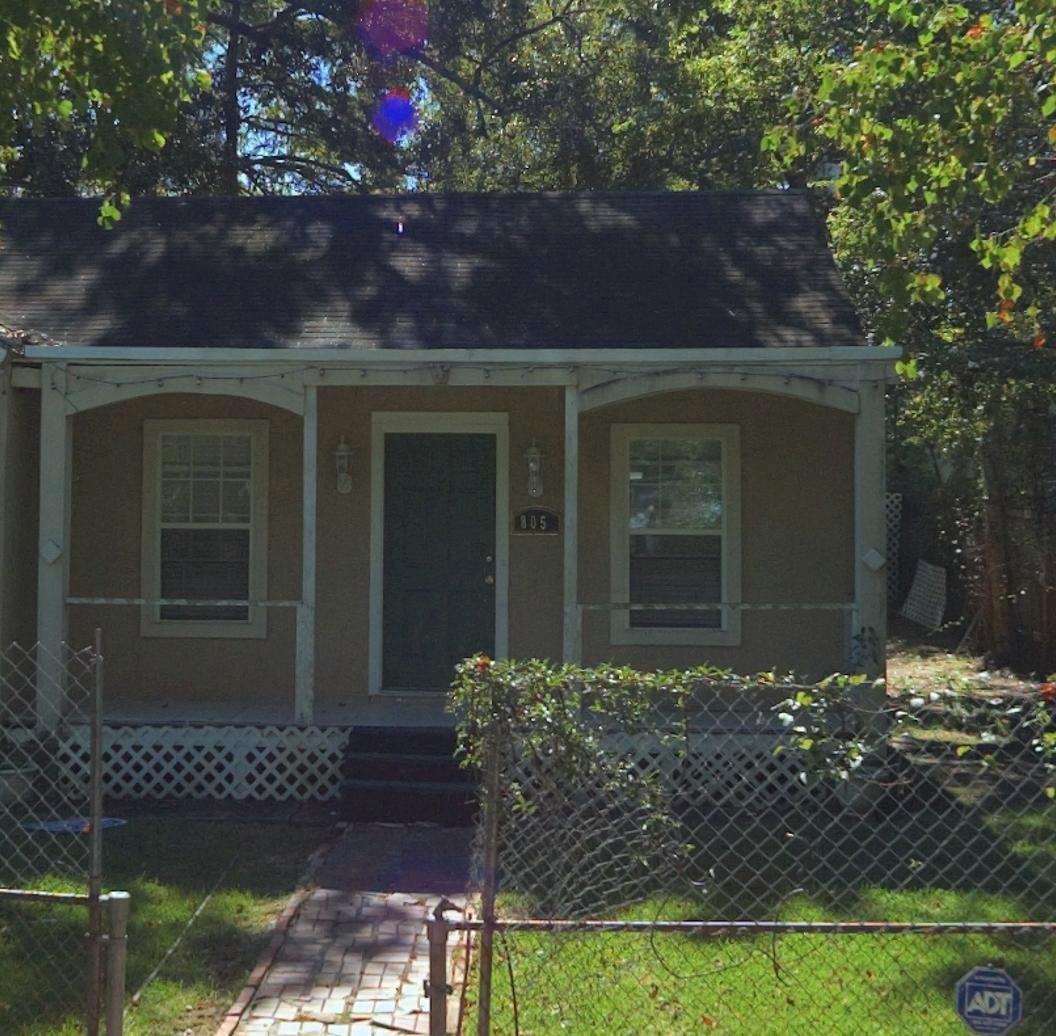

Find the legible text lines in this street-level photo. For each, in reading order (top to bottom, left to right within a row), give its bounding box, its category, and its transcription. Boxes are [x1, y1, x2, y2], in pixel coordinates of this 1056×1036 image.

[519, 514, 547, 530] StreetNumber: 805
[964, 988, 1015, 1017] None: ADT